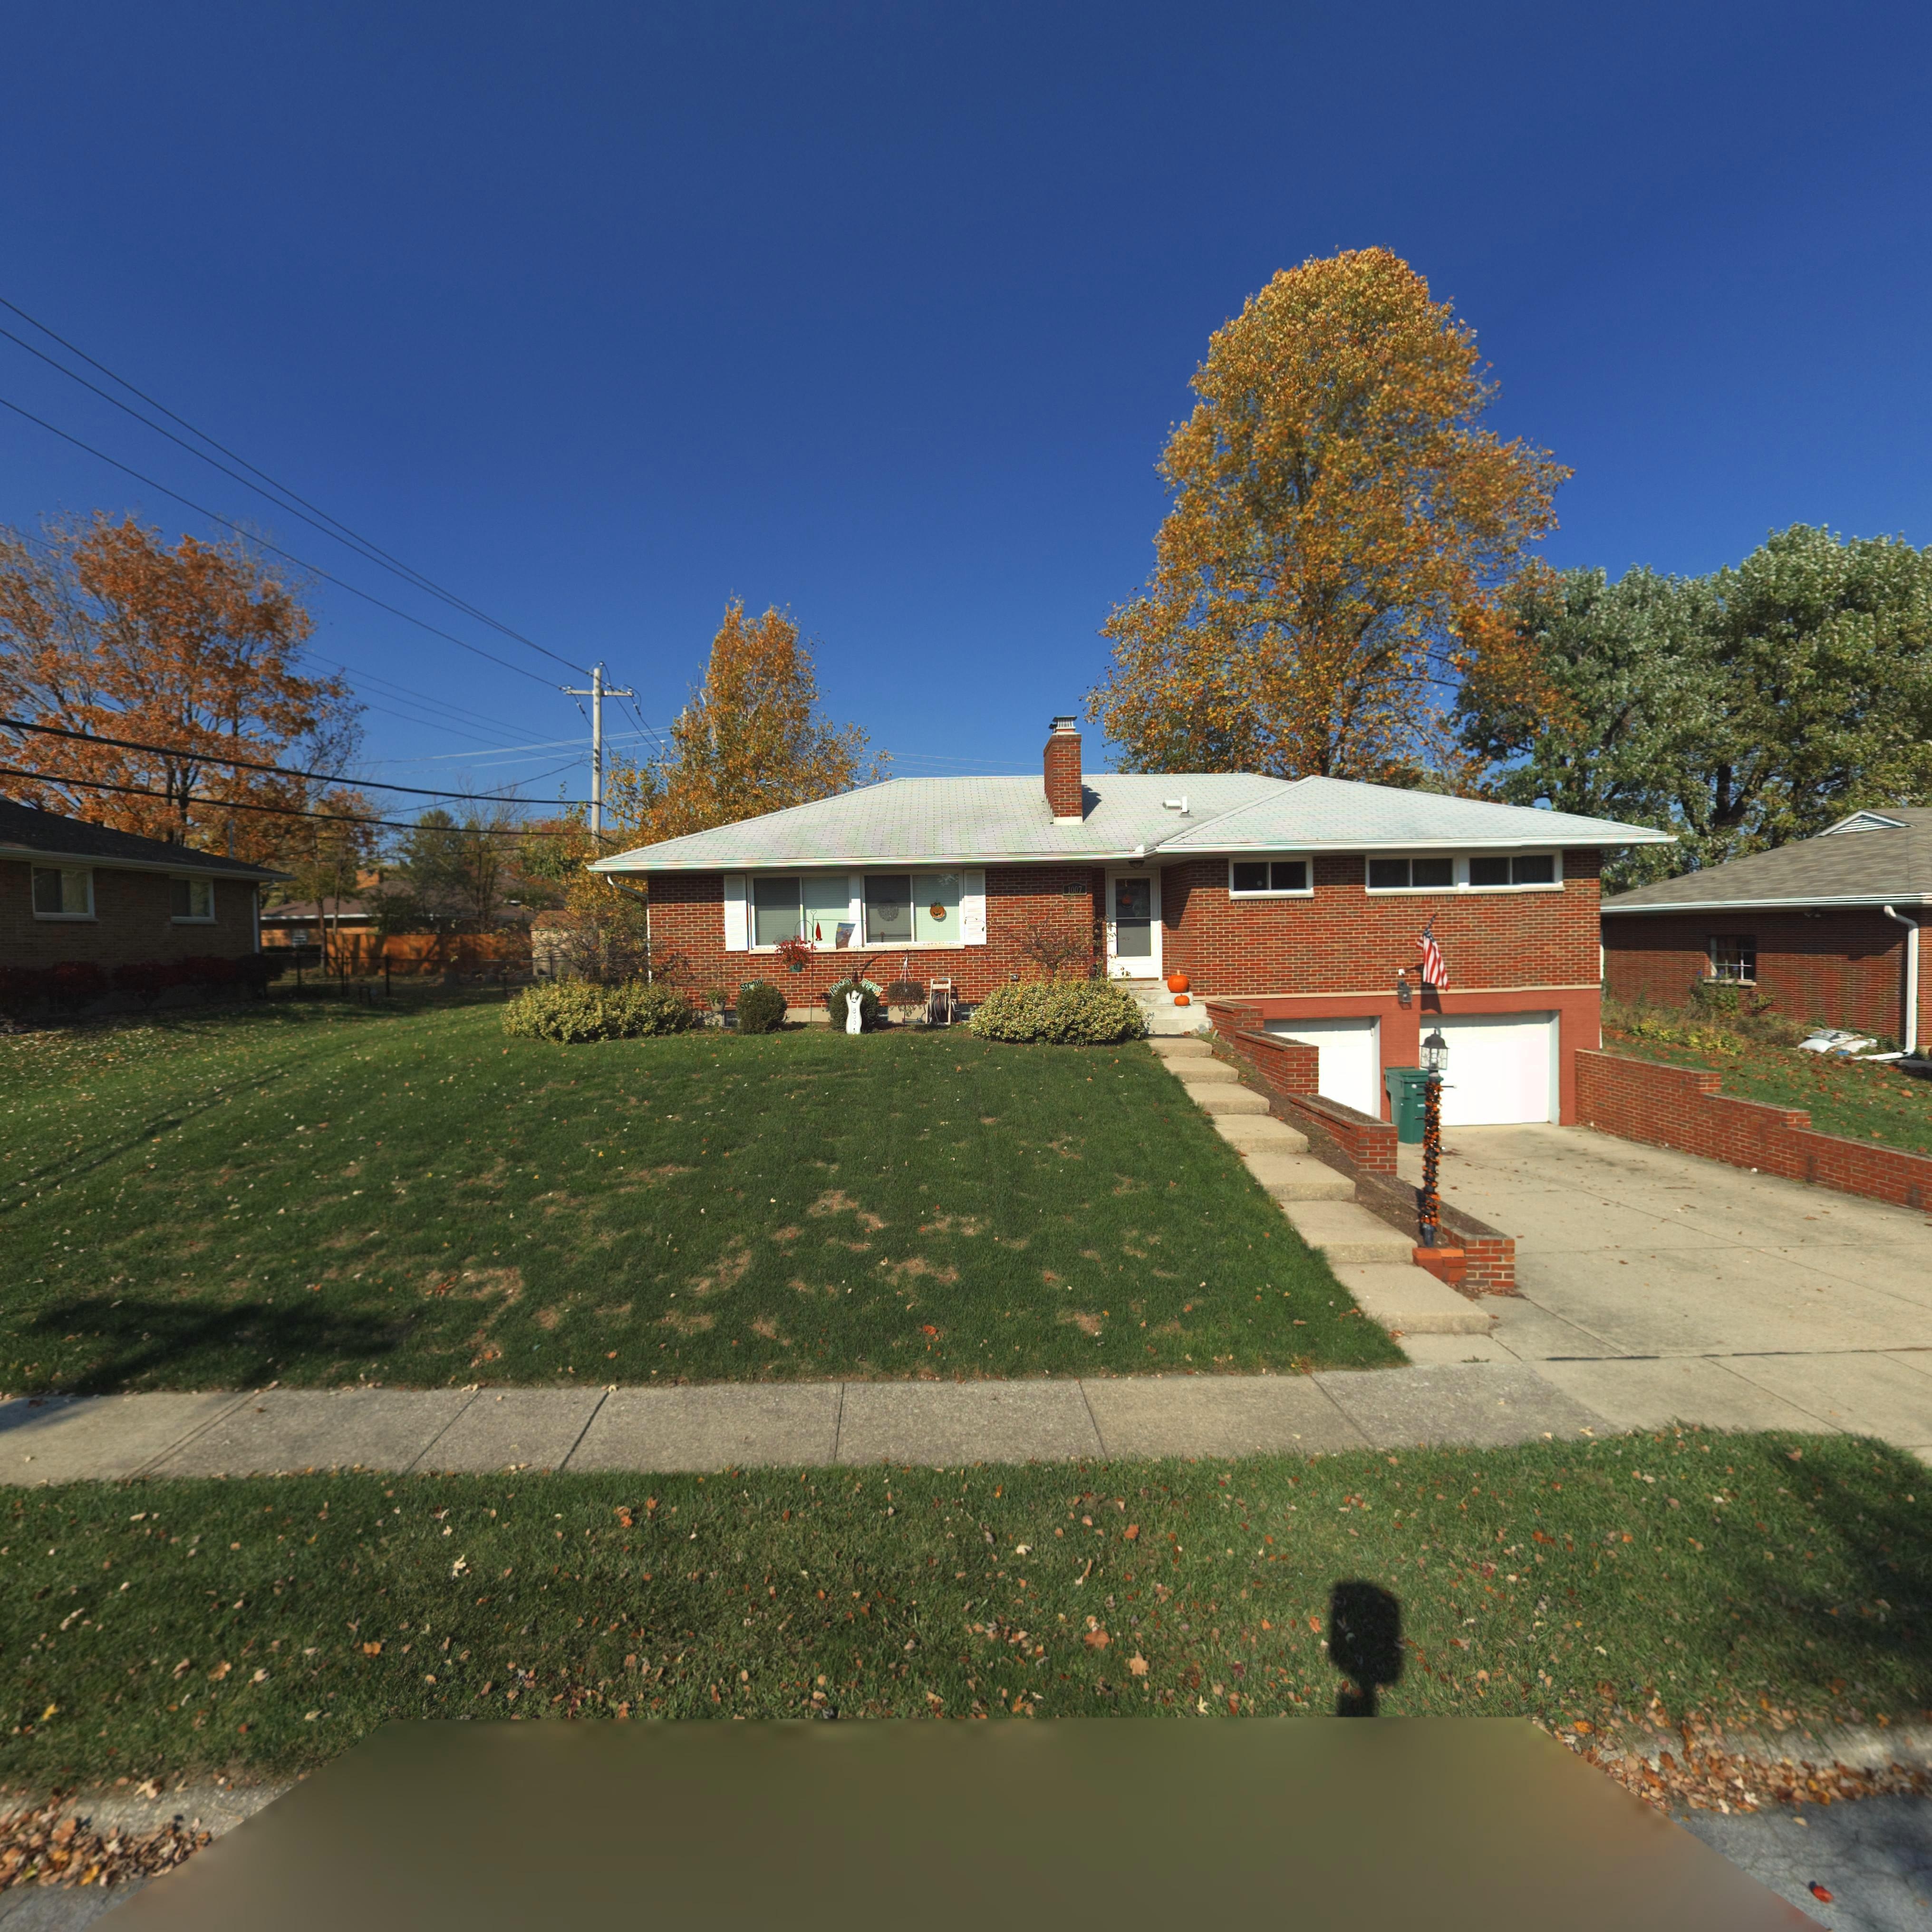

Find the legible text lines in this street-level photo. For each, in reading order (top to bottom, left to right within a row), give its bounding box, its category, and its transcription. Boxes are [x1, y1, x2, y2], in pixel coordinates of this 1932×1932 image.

[1067, 885, 1083, 894] StreetNumber: 1007
[738, 983, 746, 993] None: S